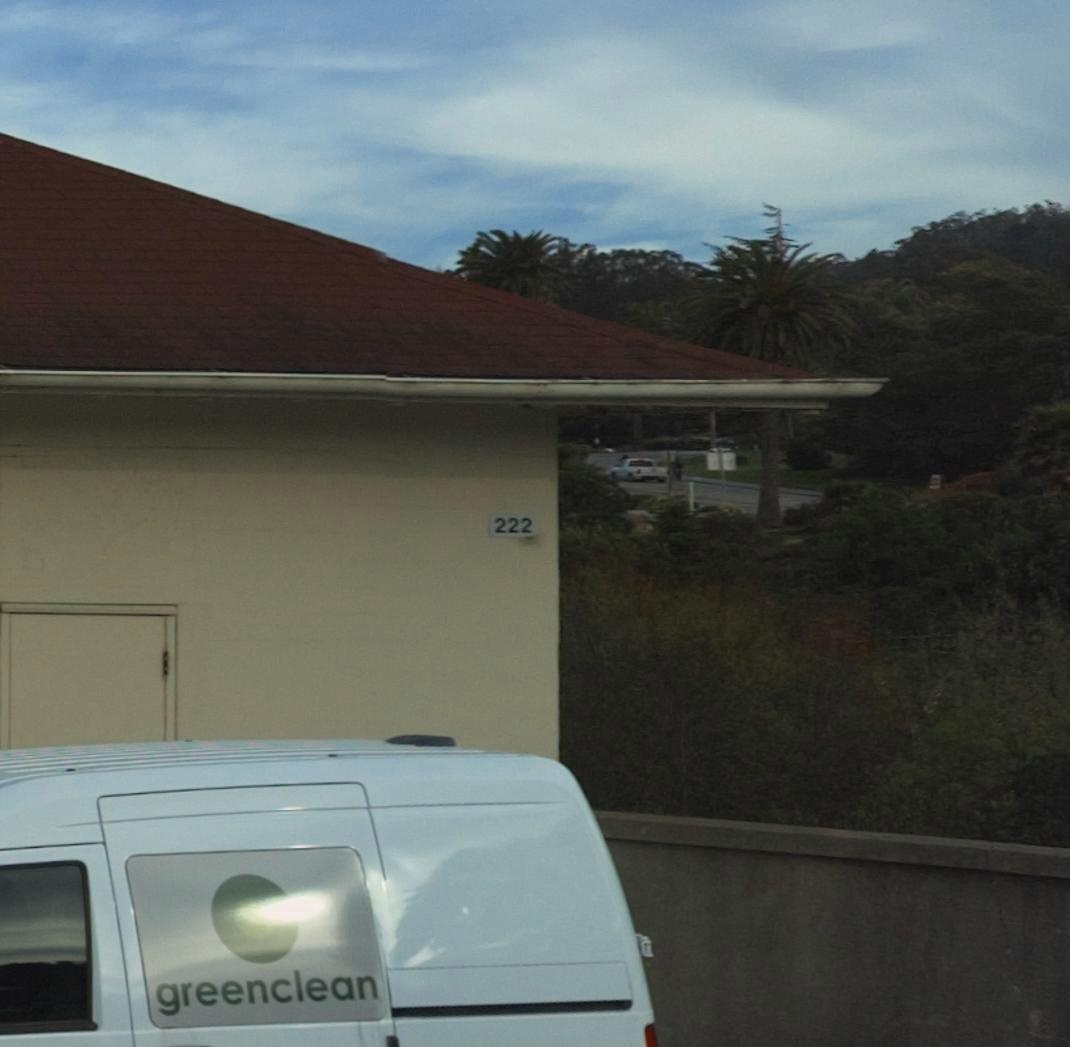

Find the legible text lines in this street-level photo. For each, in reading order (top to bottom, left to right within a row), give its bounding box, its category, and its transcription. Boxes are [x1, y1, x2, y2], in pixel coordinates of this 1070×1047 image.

[494, 516, 535, 535] StreetNumber: 222
[153, 967, 381, 1019] None: greenclean